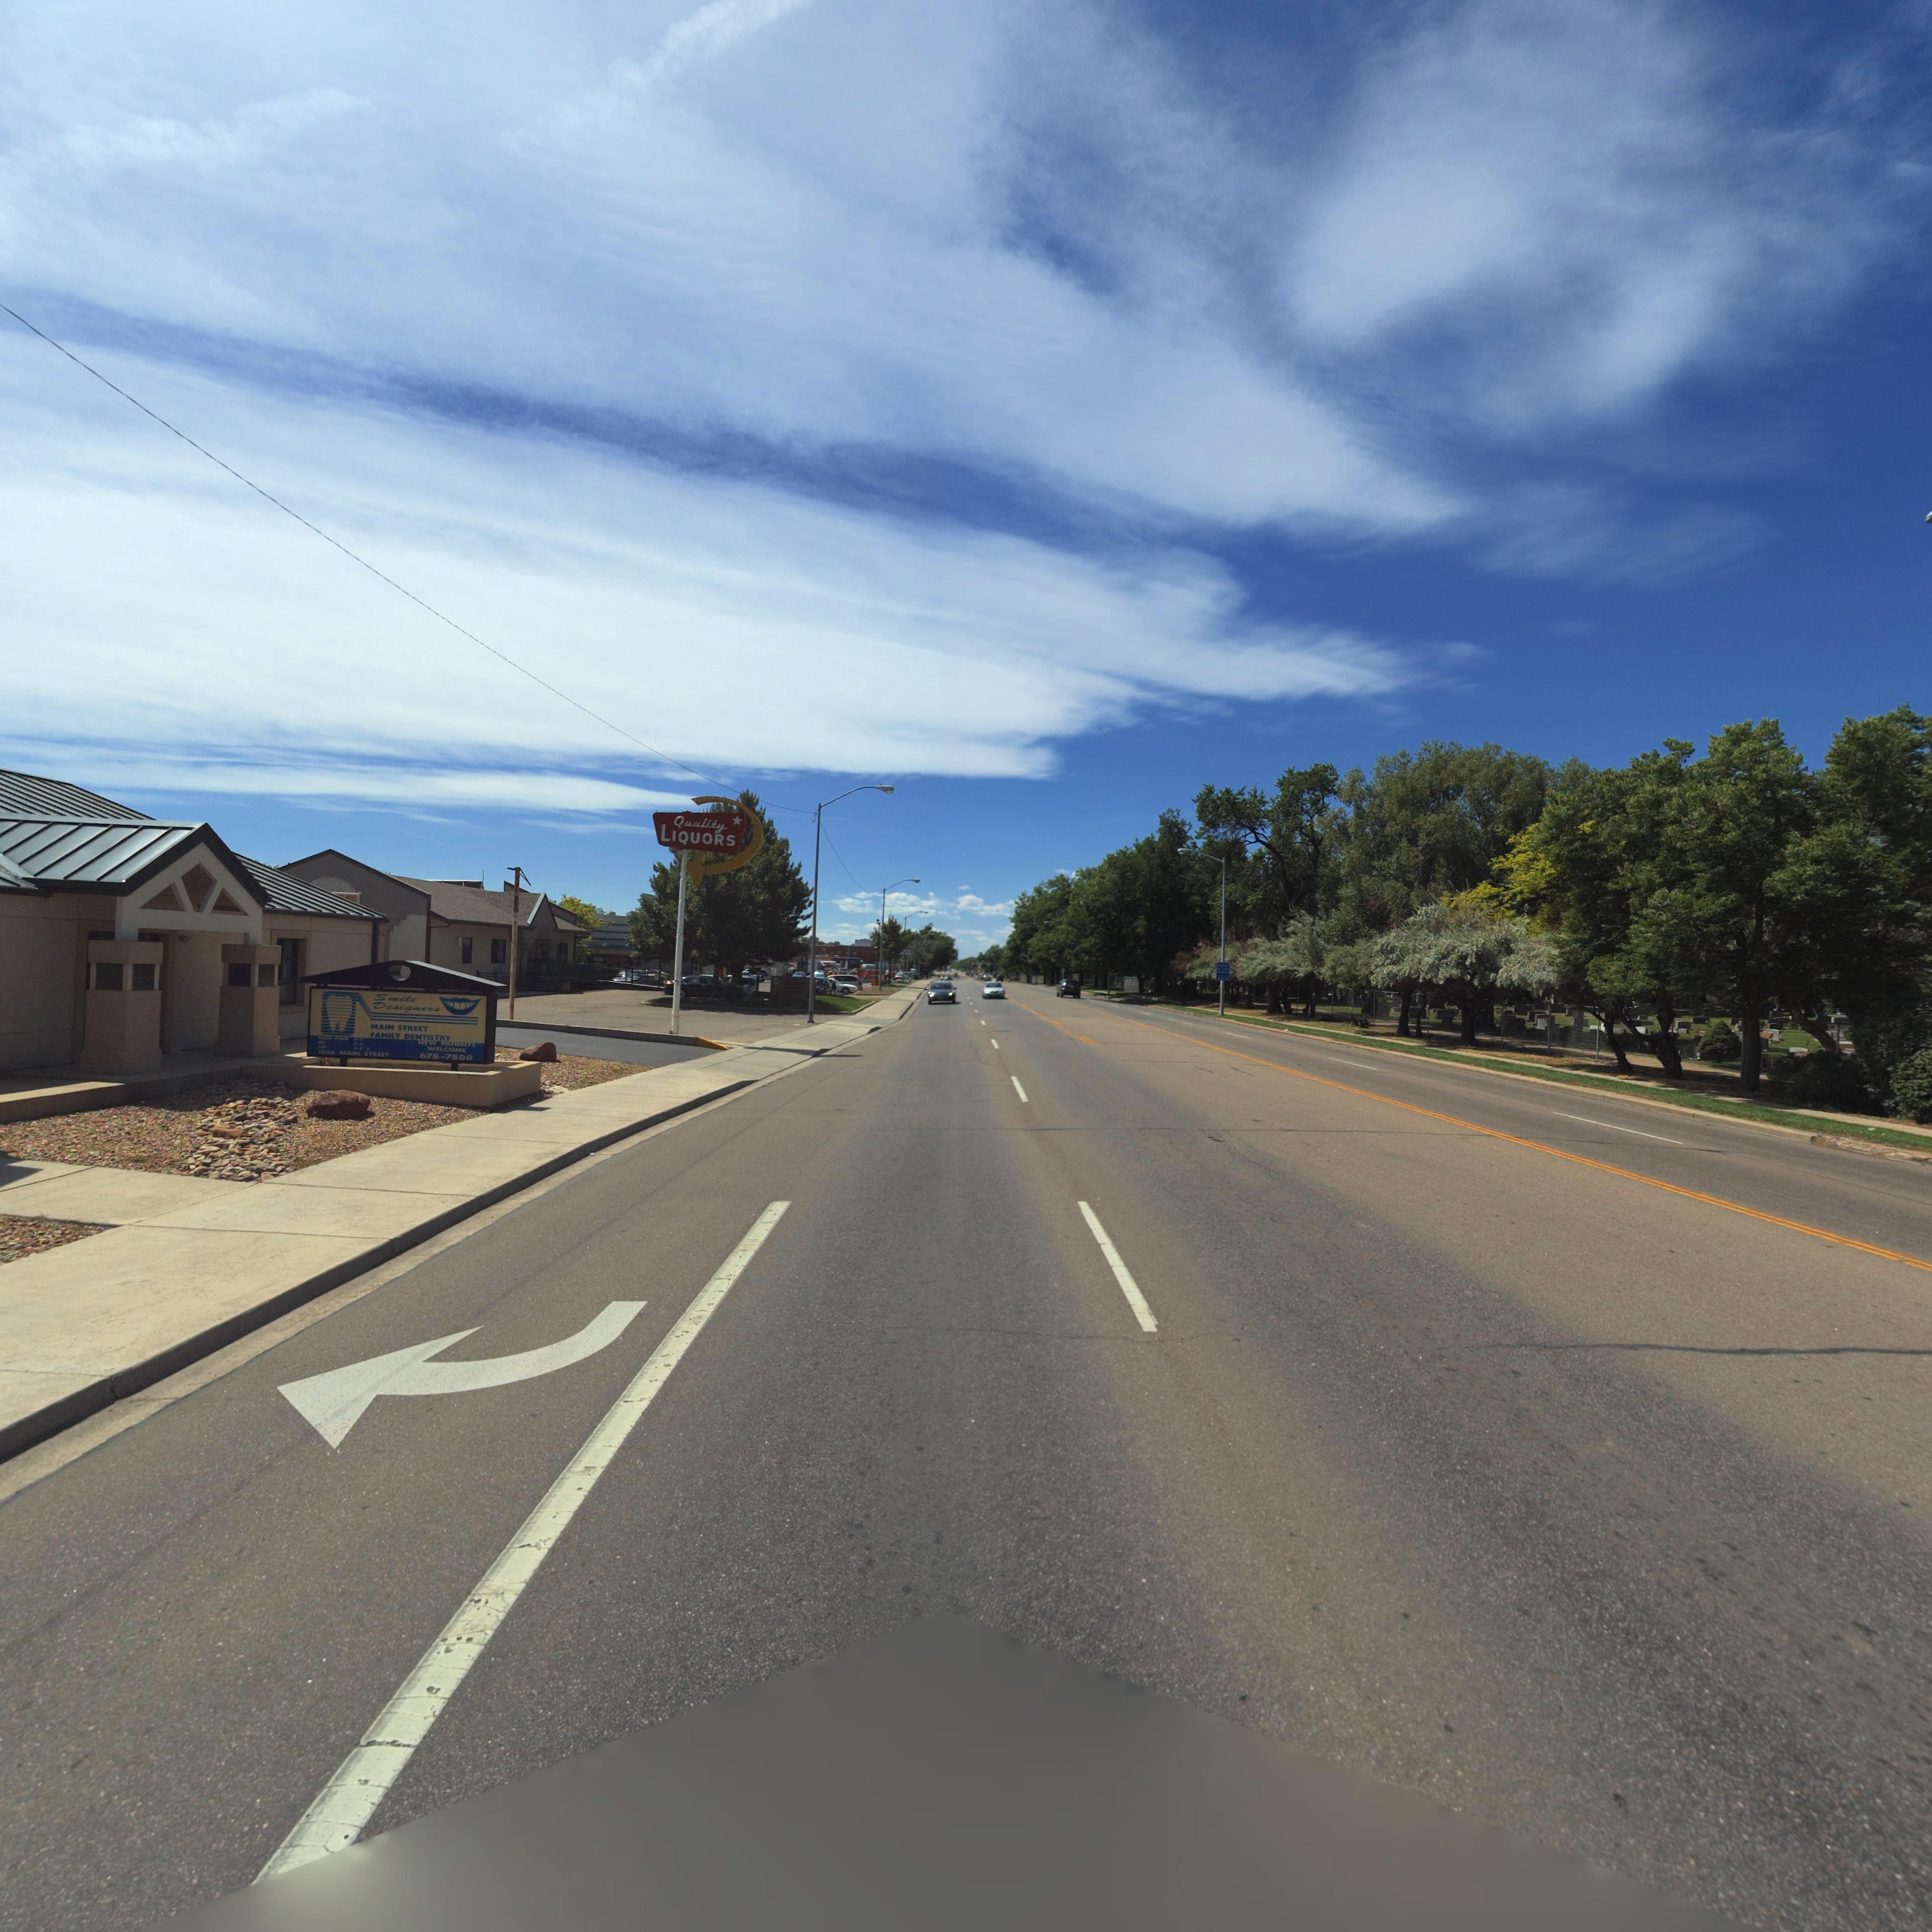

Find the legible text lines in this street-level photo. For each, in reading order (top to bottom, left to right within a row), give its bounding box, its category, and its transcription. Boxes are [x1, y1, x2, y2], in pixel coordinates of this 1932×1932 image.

[673, 815, 724, 833] BusinessName: Quality
[660, 824, 735, 846] BusinessName: LIQUORS
[863, 974, 878, 979] BusinessName: Z***
[867, 969, 879, 975] BusinessName: A***
[373, 993, 416, 1003] BusinessName: Smile
[373, 1002, 439, 1013] BusinessName: Designers
[319, 1049, 335, 1055] StreetNumber: 1246
[339, 1050, 389, 1057] StreetName: MAIN STREET